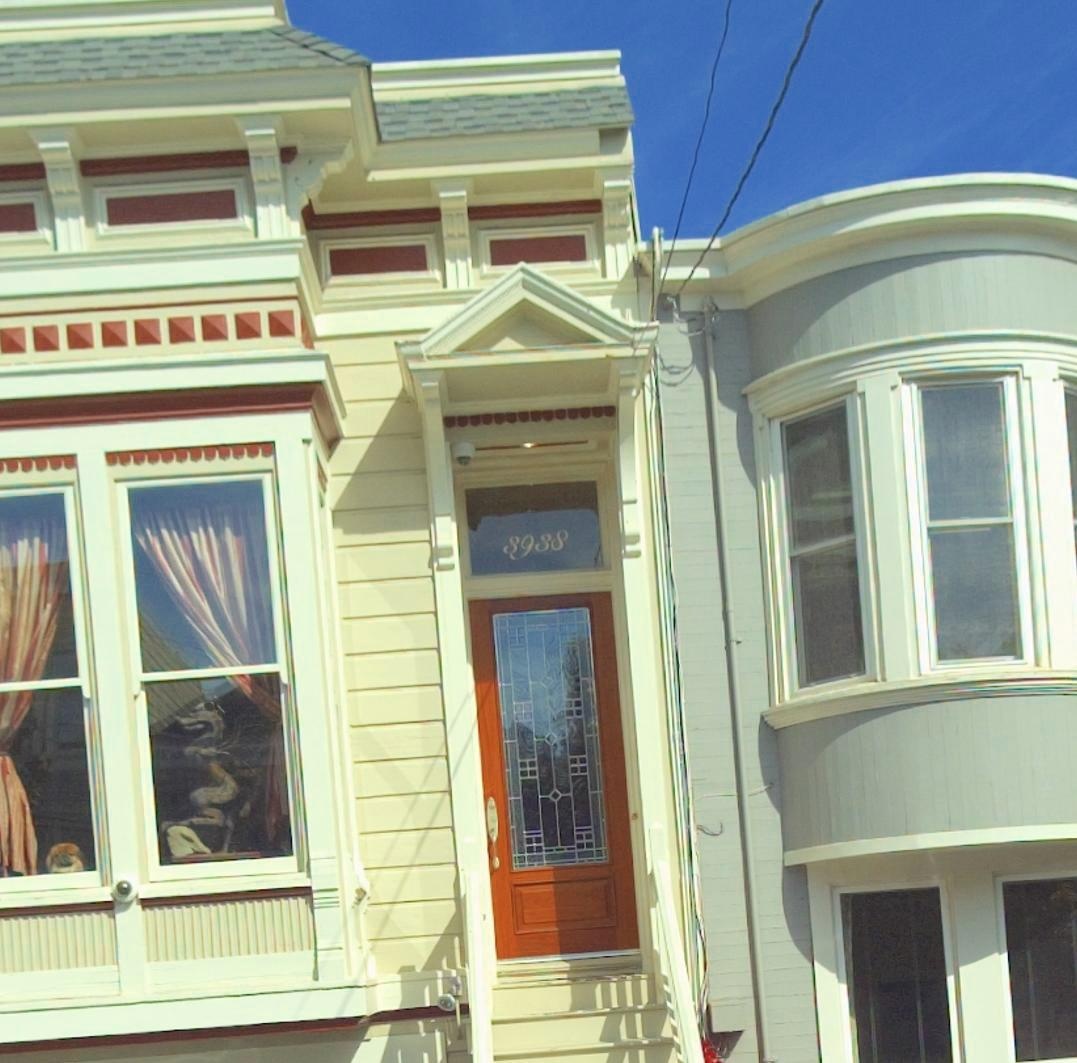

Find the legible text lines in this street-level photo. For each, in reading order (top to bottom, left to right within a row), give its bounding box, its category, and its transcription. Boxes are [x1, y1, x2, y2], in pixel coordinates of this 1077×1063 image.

[502, 527, 571, 564] StreetNumber: 3938